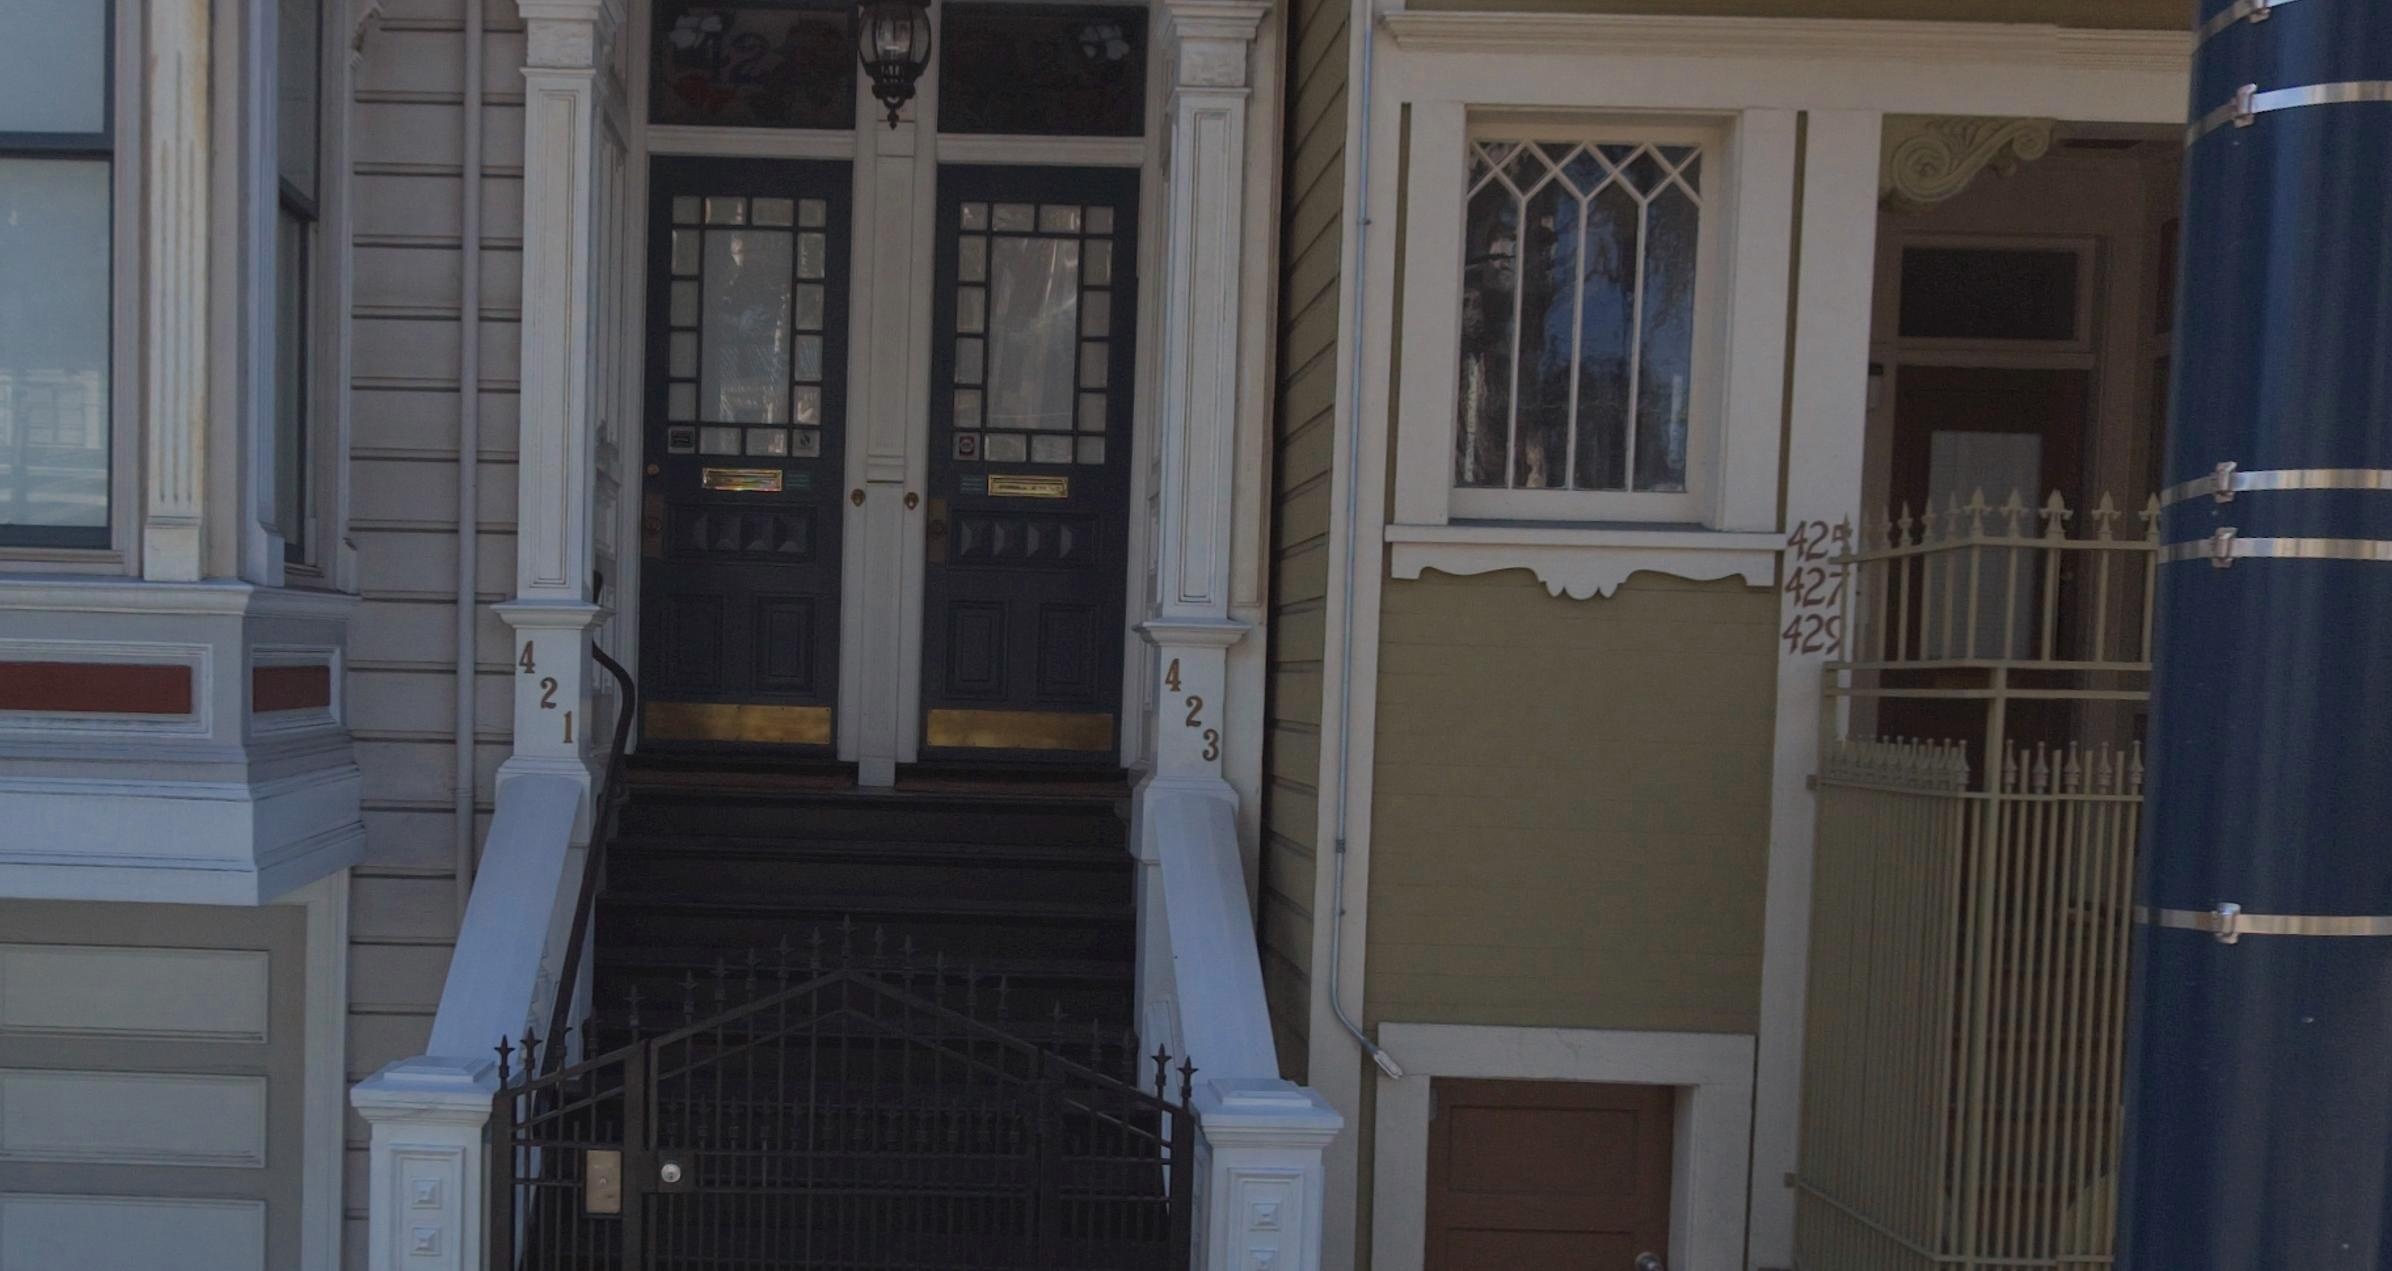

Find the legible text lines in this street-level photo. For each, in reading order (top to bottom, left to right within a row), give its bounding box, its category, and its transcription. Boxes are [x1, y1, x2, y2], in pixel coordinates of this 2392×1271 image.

[1785, 519, 1855, 561] StreetNumber: 42*
[1783, 565, 1853, 610] StreetNumber: 427
[1780, 614, 1852, 658] StreetNumber: 429
[510, 635, 590, 755] StreetNumber: 421
[1155, 654, 1226, 766] StreetNumber: 423